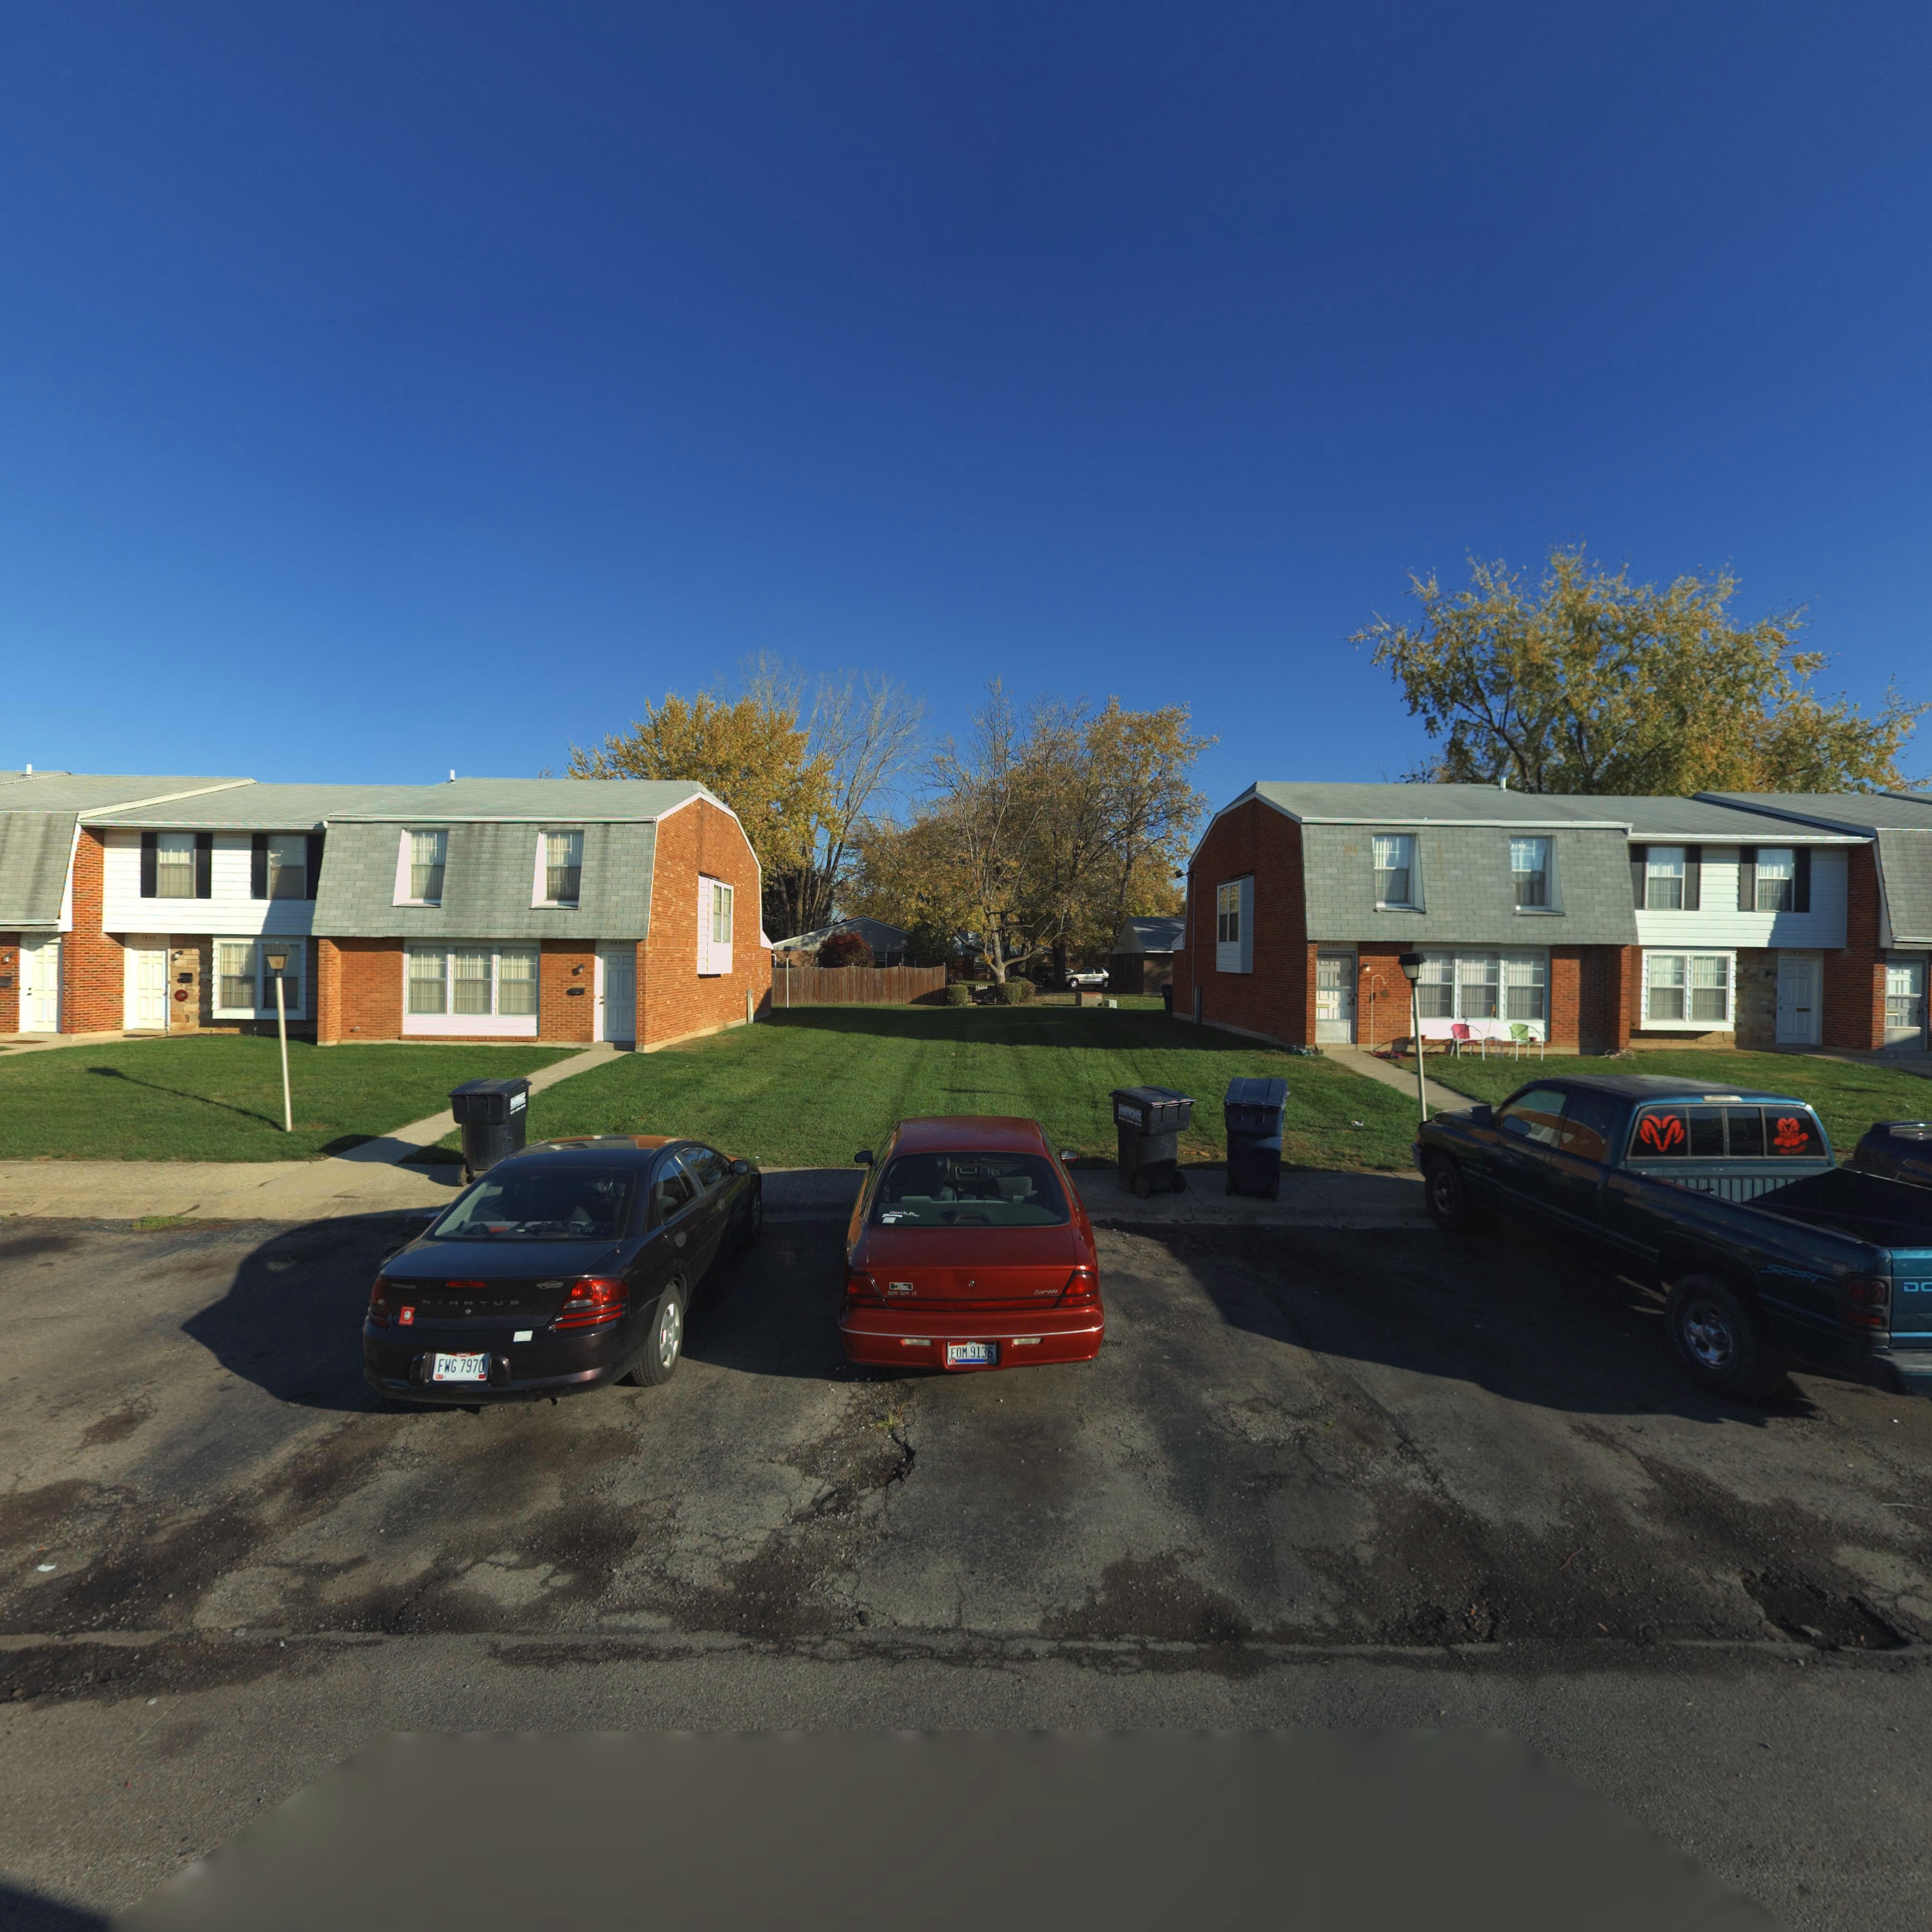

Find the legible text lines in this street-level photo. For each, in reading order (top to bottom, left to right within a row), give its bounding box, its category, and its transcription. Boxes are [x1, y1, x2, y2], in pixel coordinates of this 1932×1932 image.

[35, 932, 51, 938] StreetNumber: 7***
[141, 935, 156, 940] StreetNumber: 7632
[609, 940, 626, 946] StreetNumber: 7630
[1323, 941, 1340, 947] StreetNumber: 7628
[1788, 949, 1807, 955] StreetNumber: *624